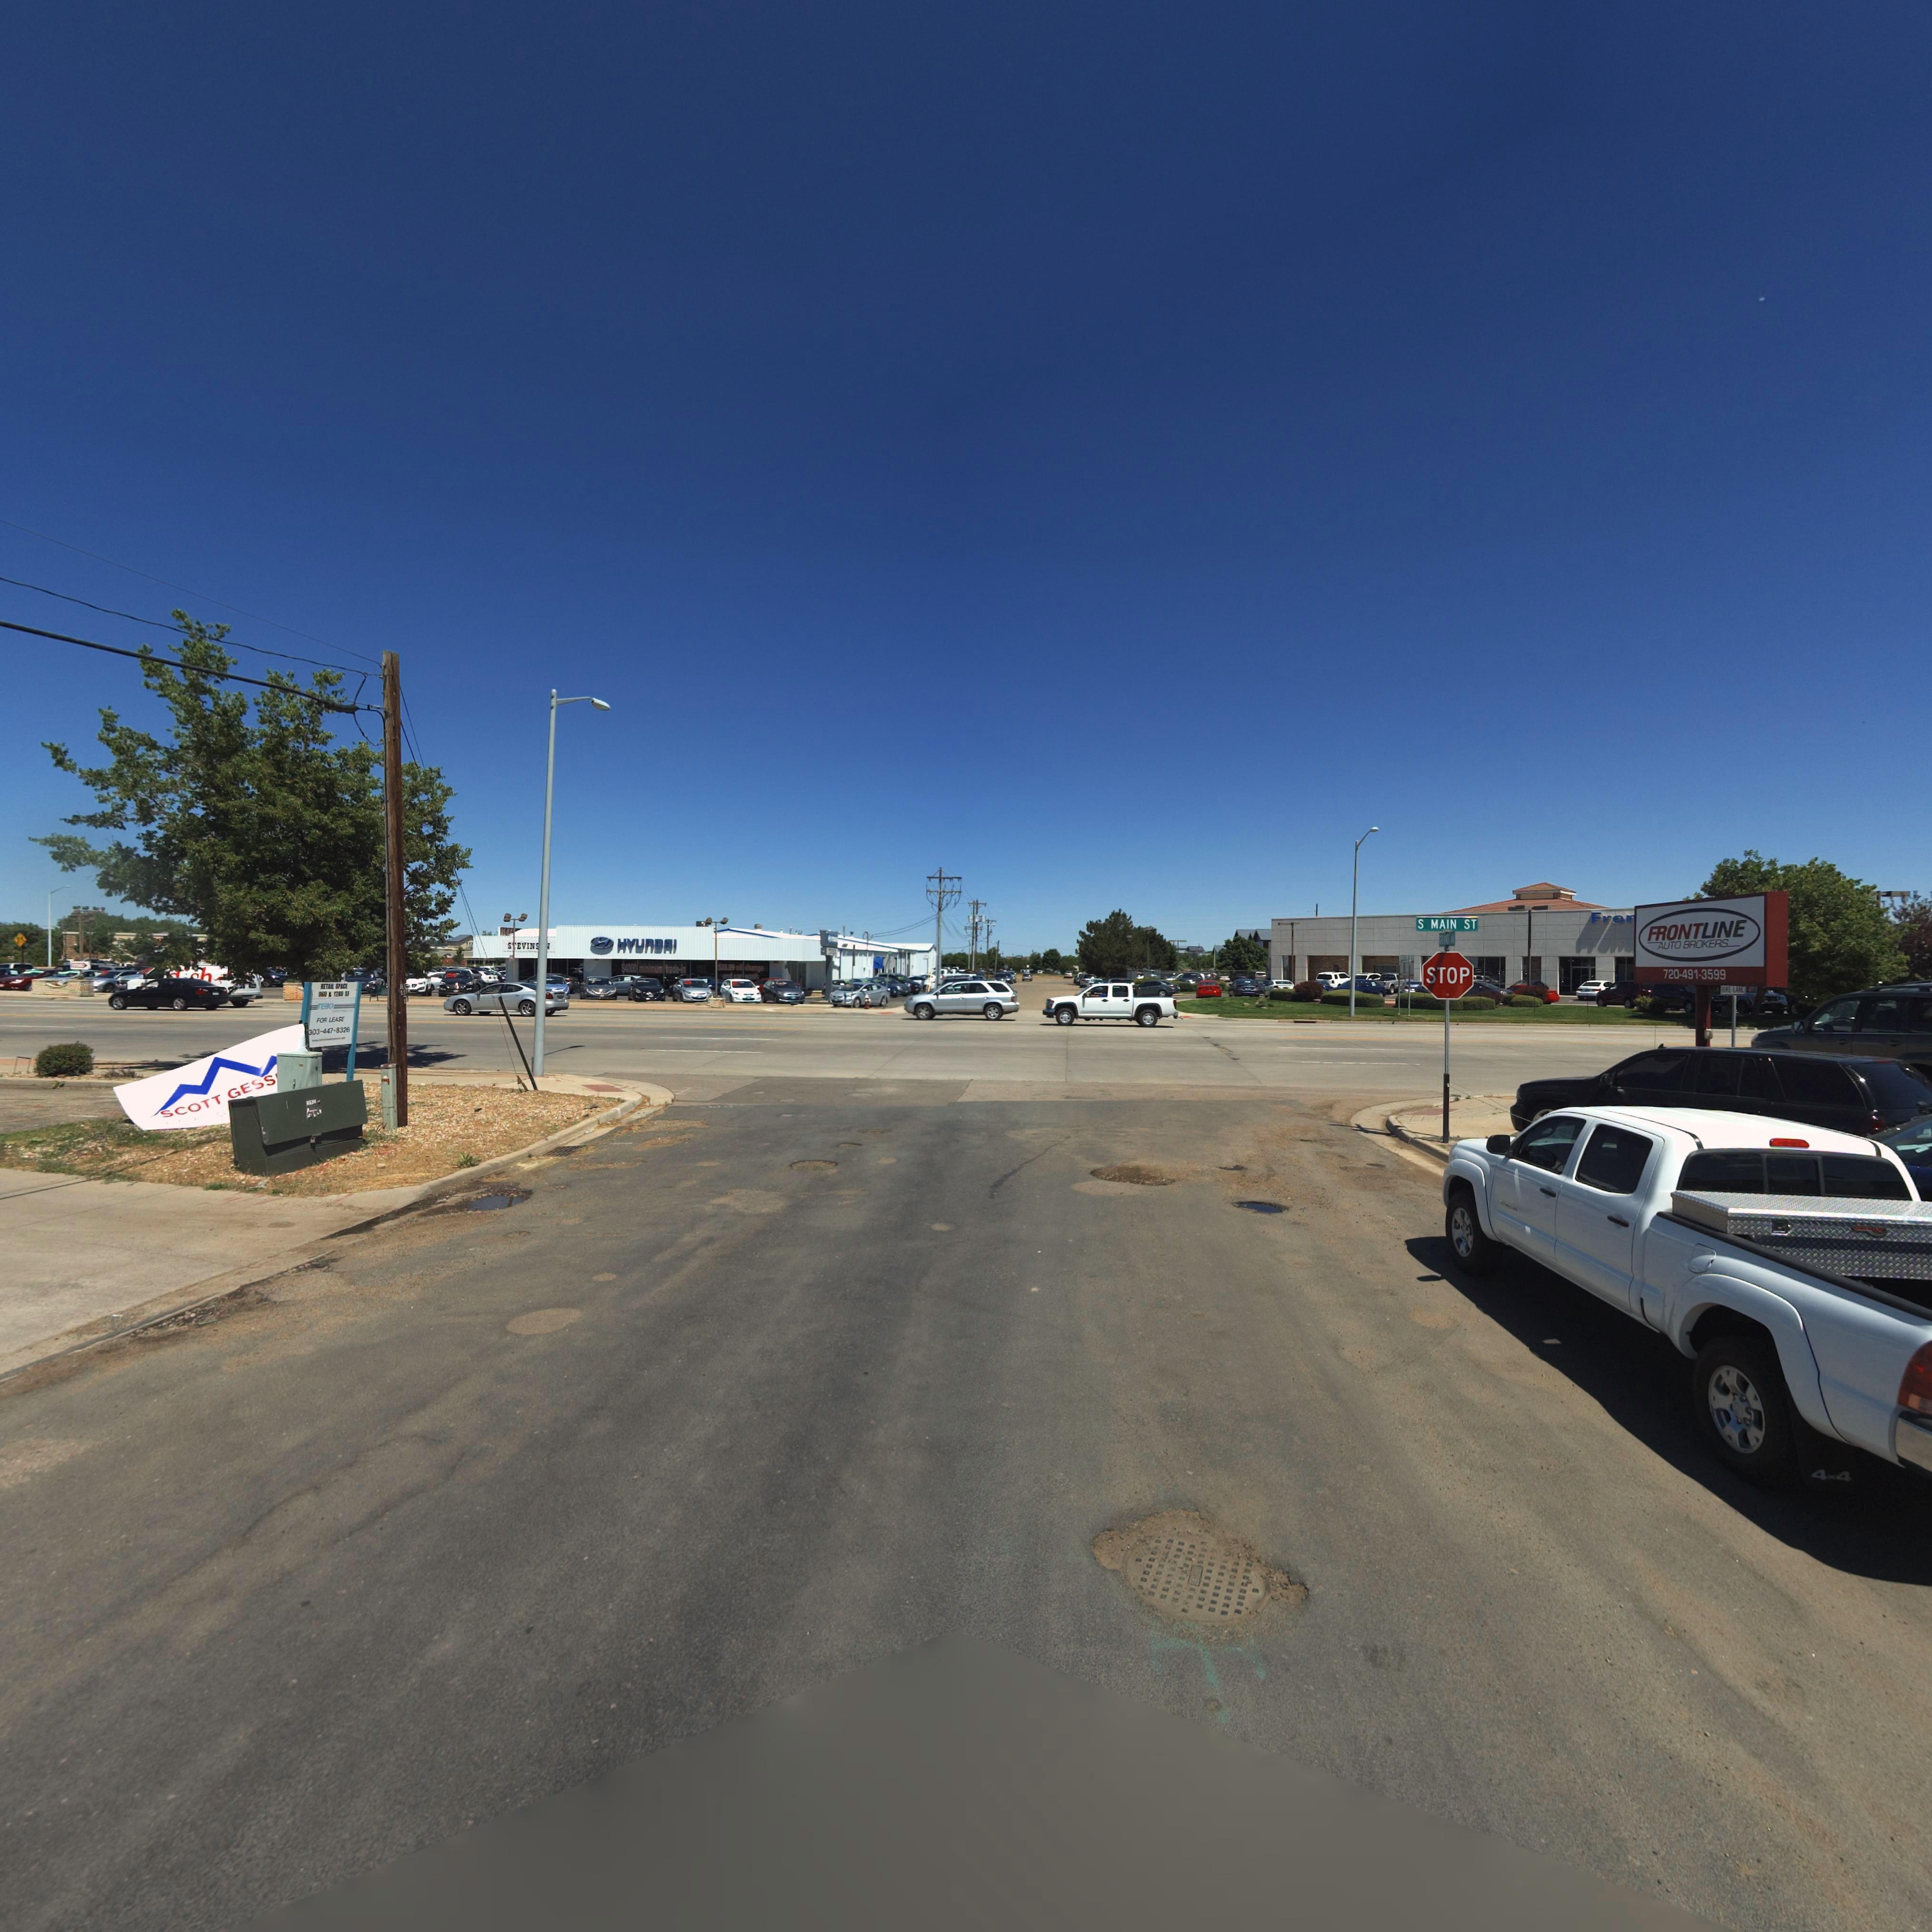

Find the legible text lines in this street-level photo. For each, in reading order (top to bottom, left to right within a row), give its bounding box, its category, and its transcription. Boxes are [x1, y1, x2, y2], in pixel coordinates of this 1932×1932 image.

[1590, 911, 1636, 925] BusinessName: Fro*
[1417, 918, 1477, 930] StreetName: S MAIN ST
[1646, 919, 1748, 941] BusinessName: FRONTLINE
[507, 941, 538, 949] BusinessName: S*EVIN*
[617, 937, 677, 948] BusinessName: HYUnDAI
[1656, 938, 1729, 949] BusinessName: AUTO BROKERS